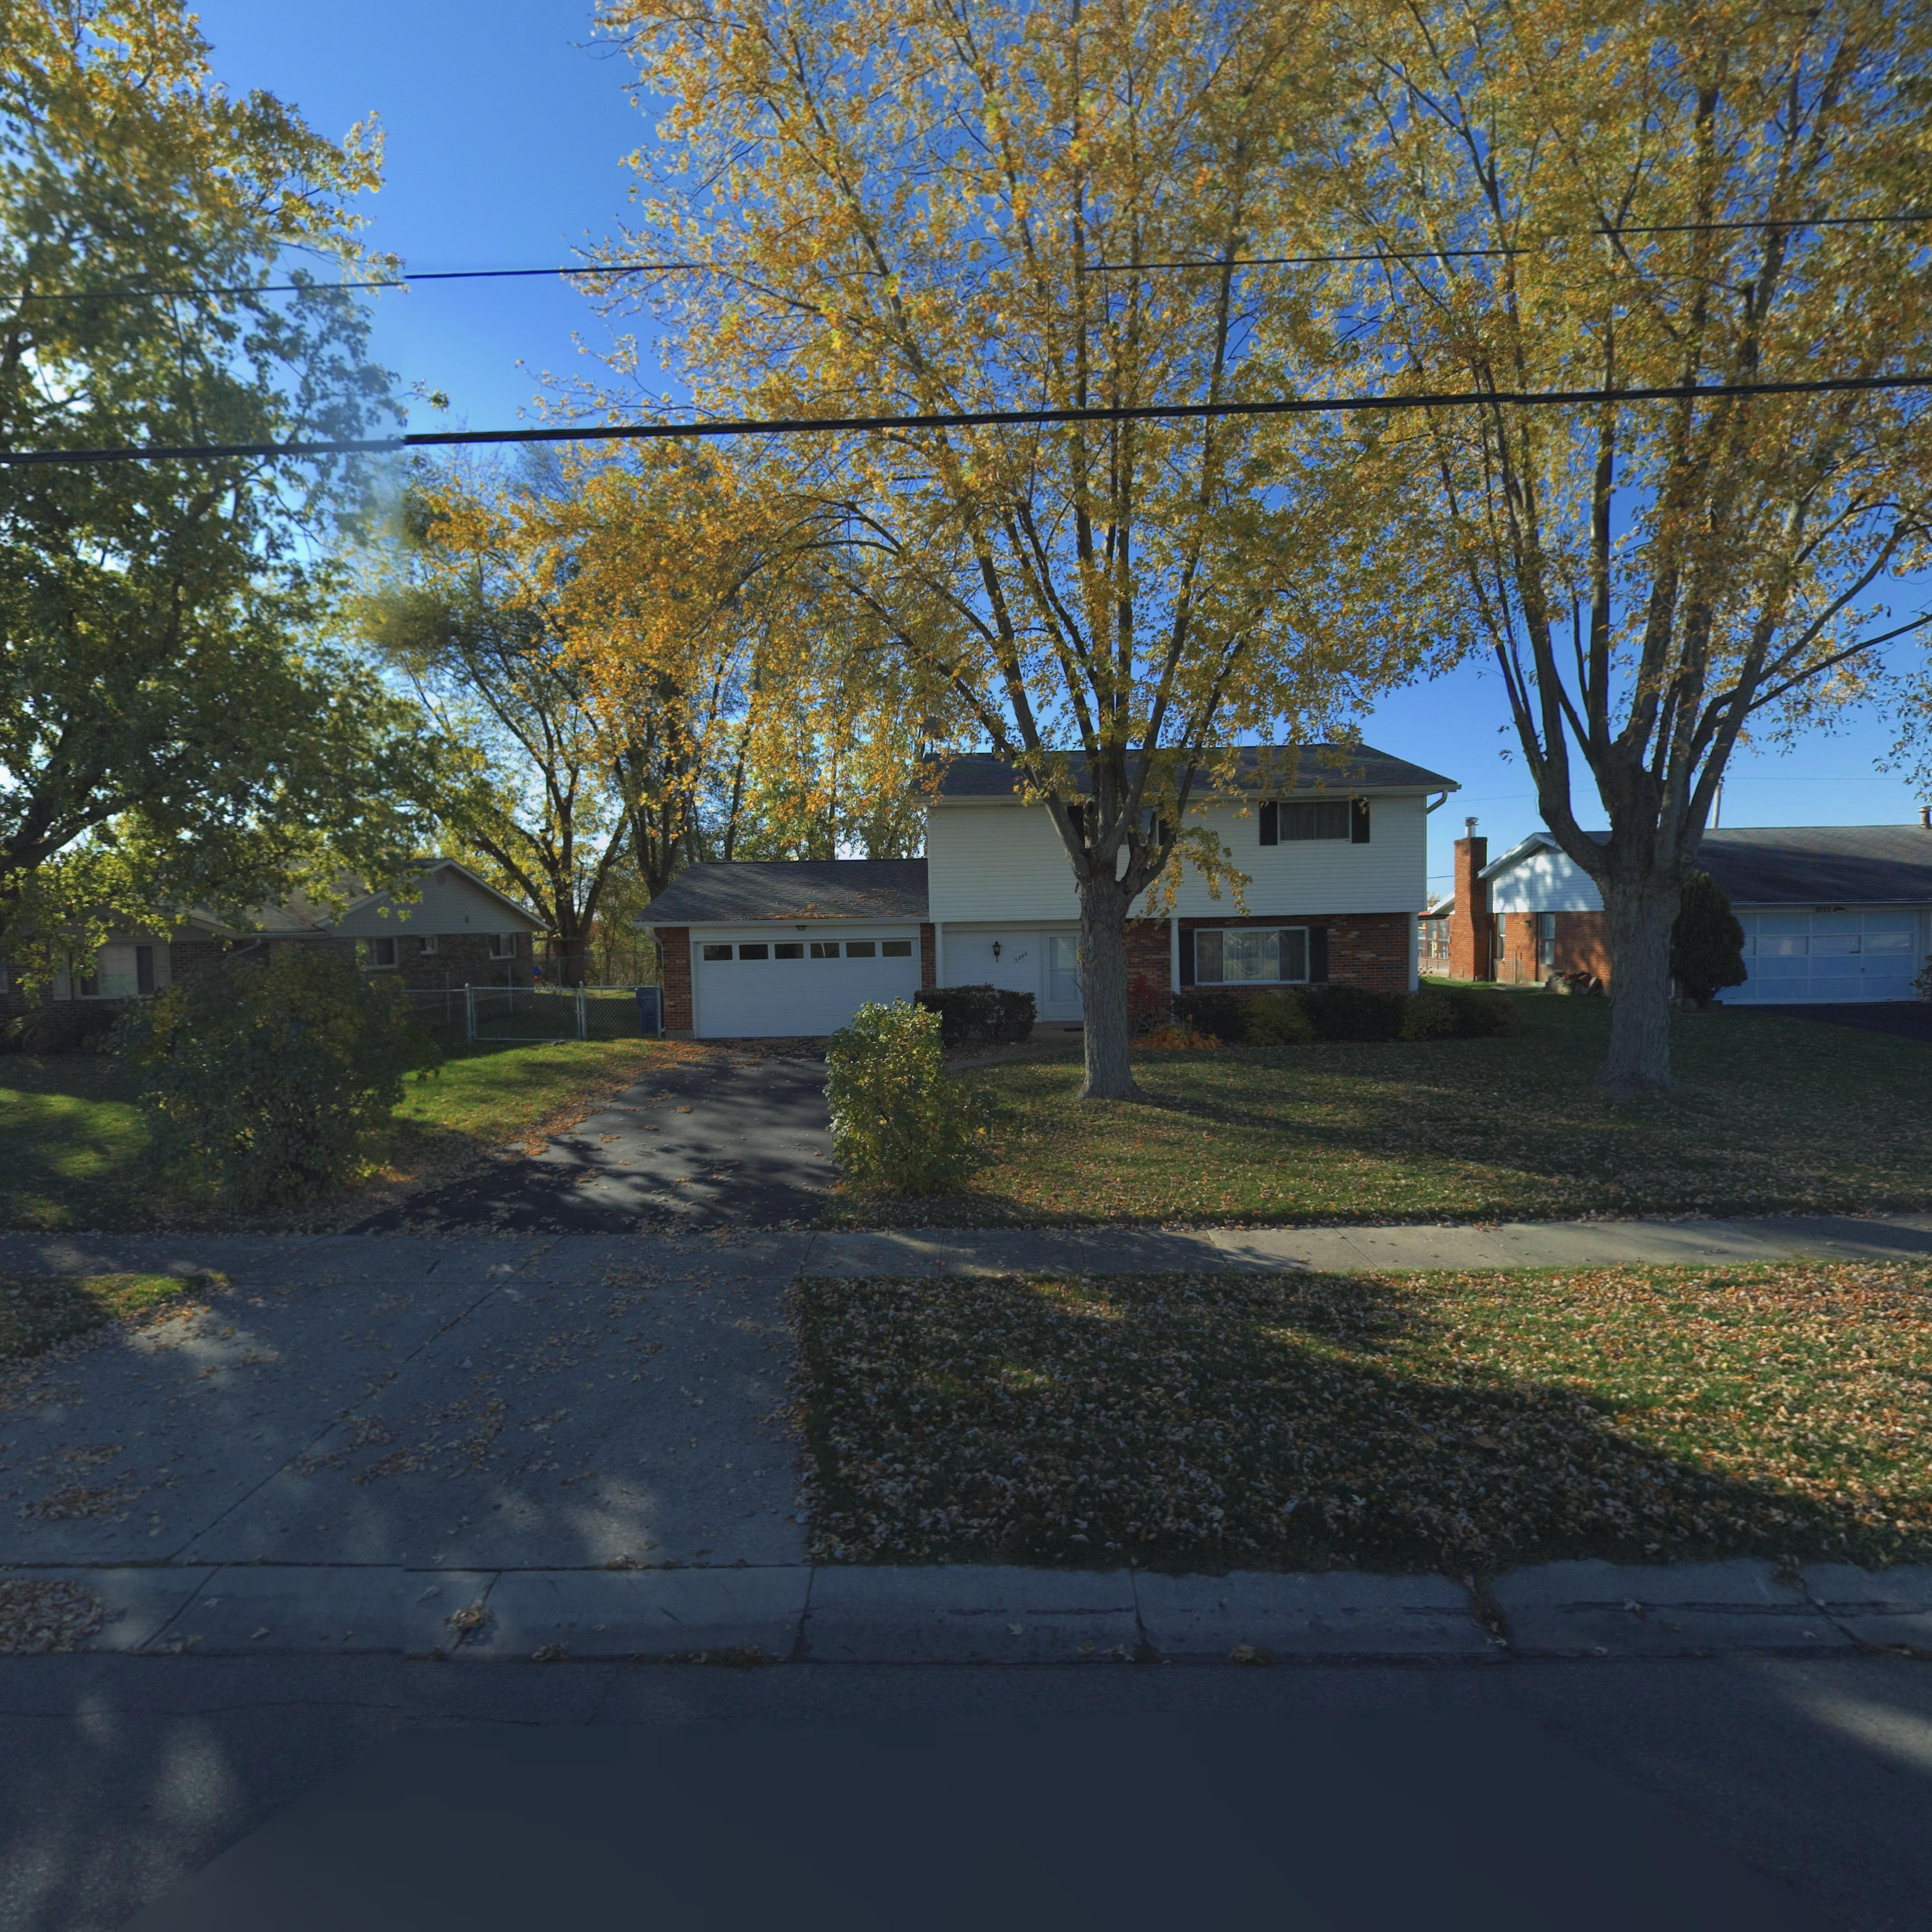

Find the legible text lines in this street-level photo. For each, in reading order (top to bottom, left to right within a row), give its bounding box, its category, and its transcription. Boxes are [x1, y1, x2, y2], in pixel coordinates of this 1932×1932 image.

[1822, 905, 1831, 913] StreetNumber: 42
[1014, 951, 1028, 963] StreetNumber: 5866